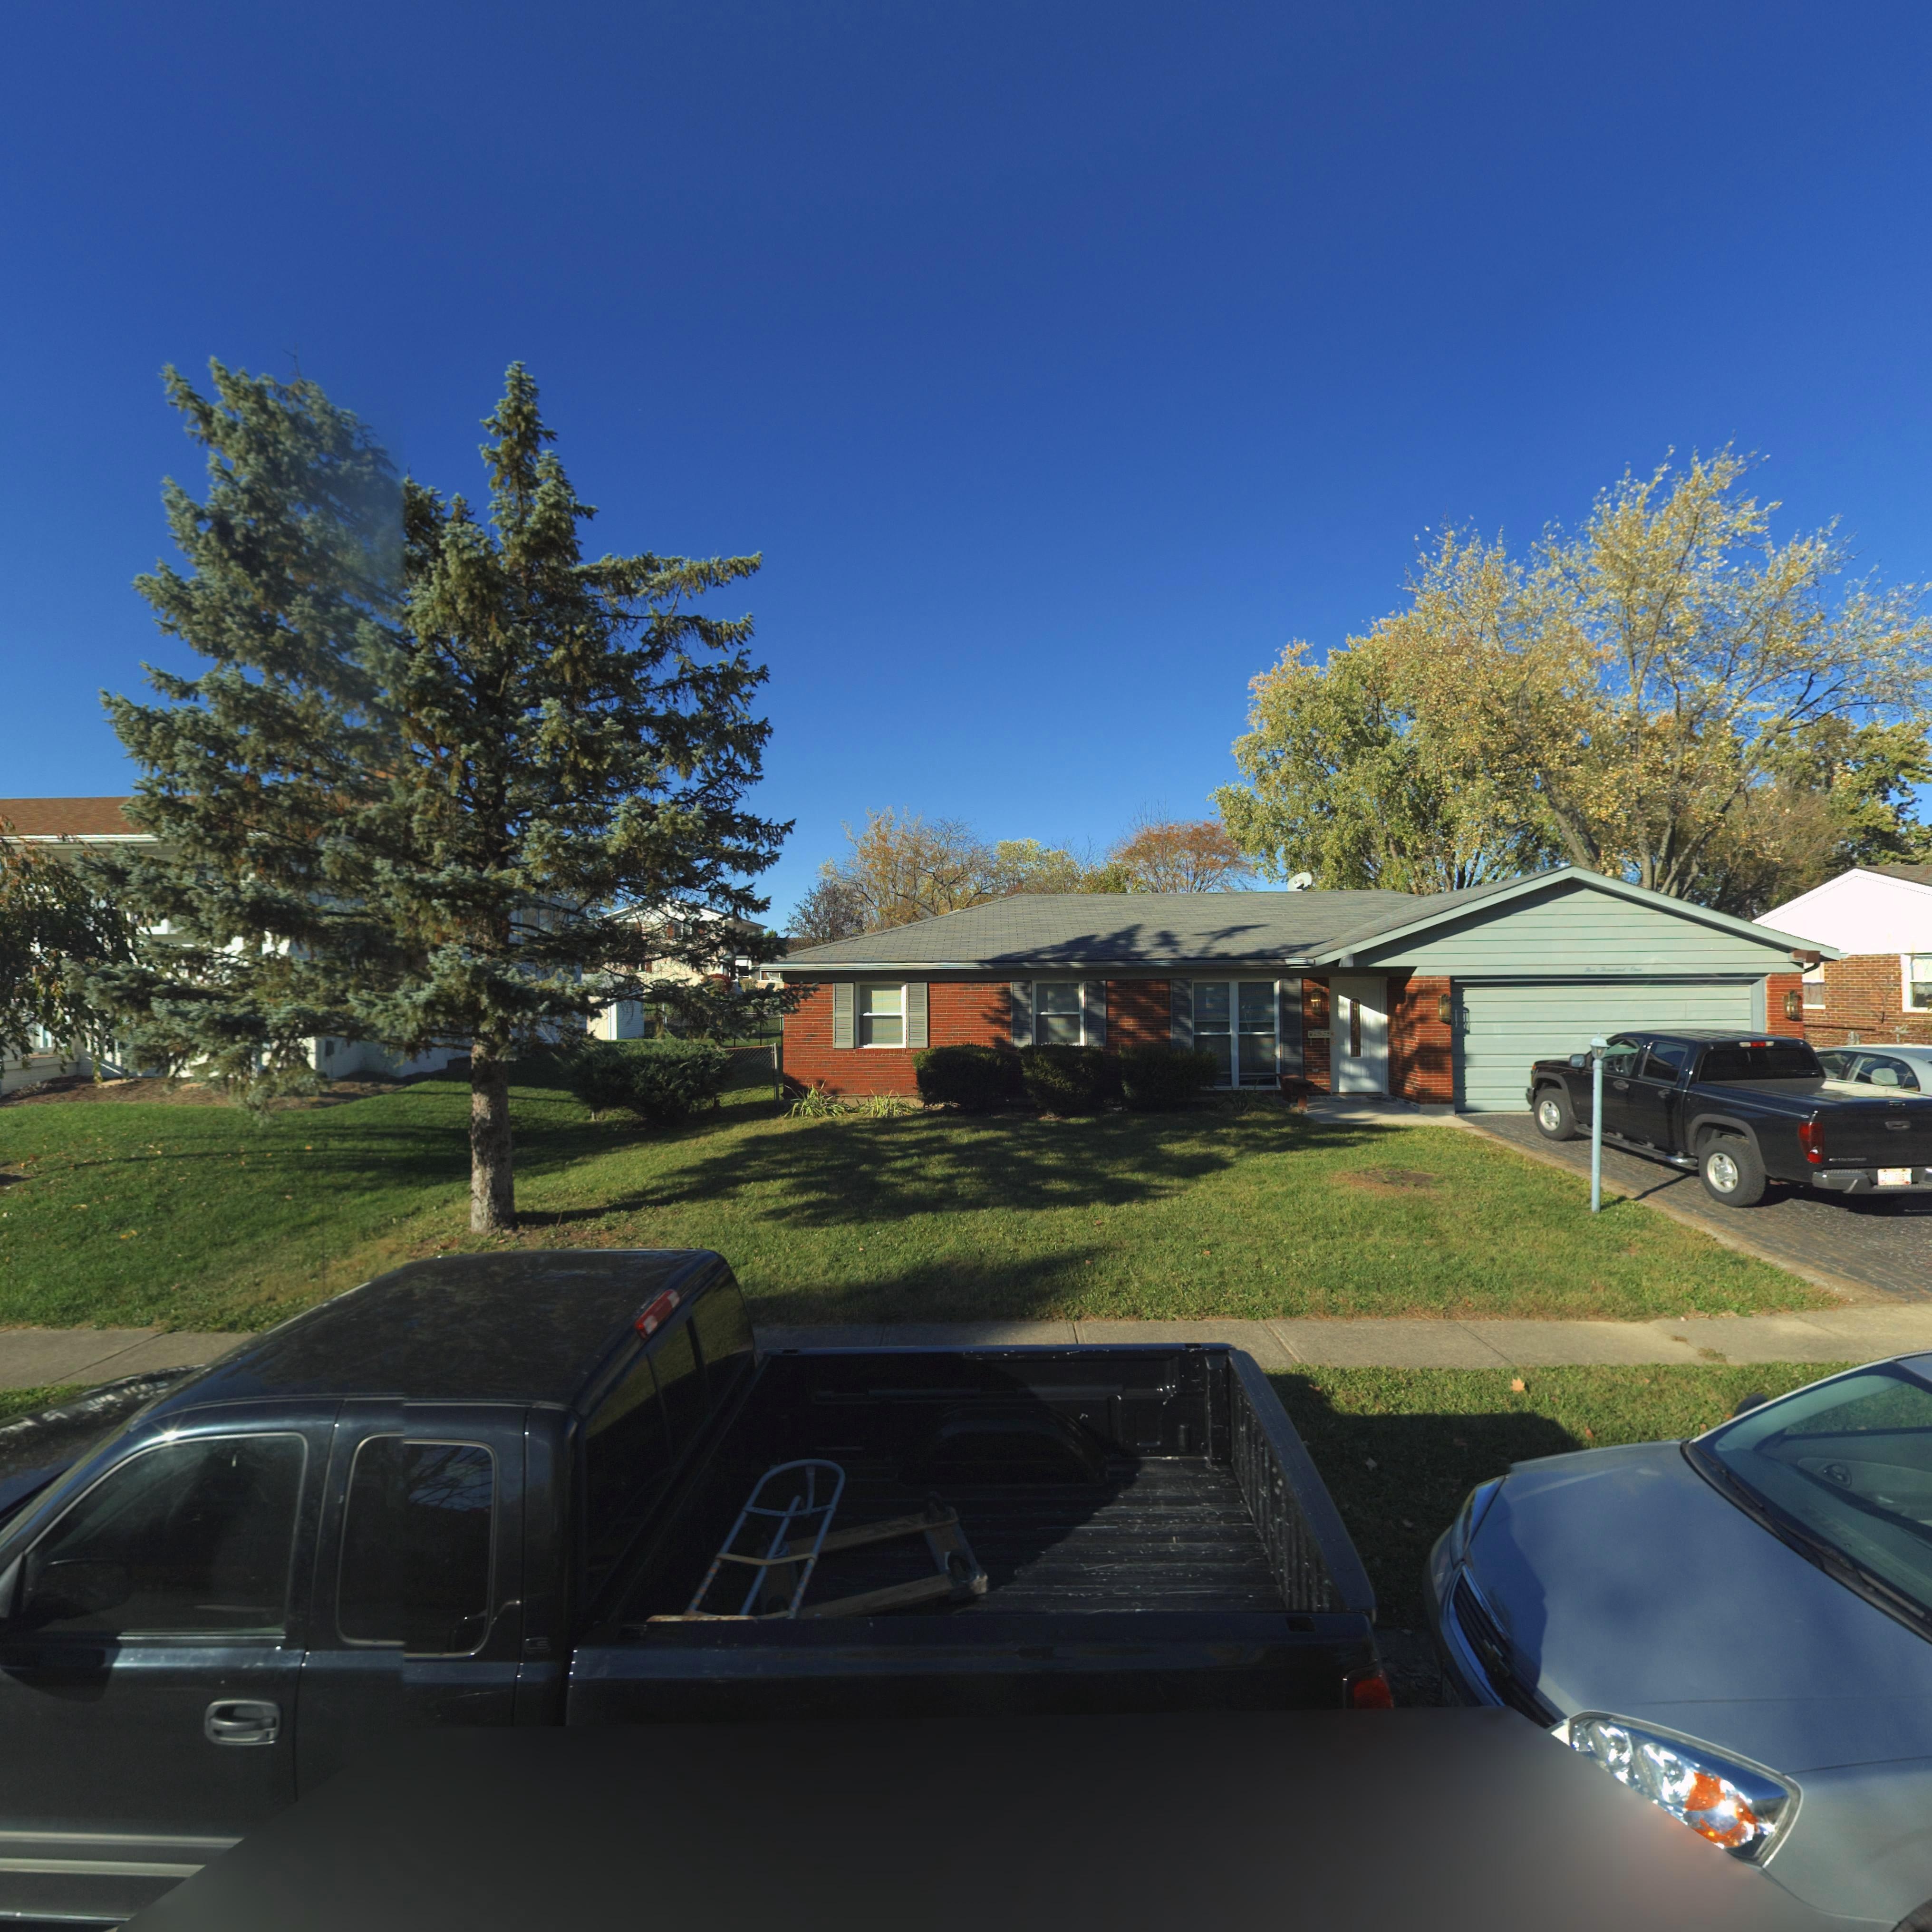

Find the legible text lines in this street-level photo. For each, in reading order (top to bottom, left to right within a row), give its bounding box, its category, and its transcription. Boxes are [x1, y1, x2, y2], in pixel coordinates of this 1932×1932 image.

[1583, 965, 1643, 973] StreetNumber: Five Thousand One